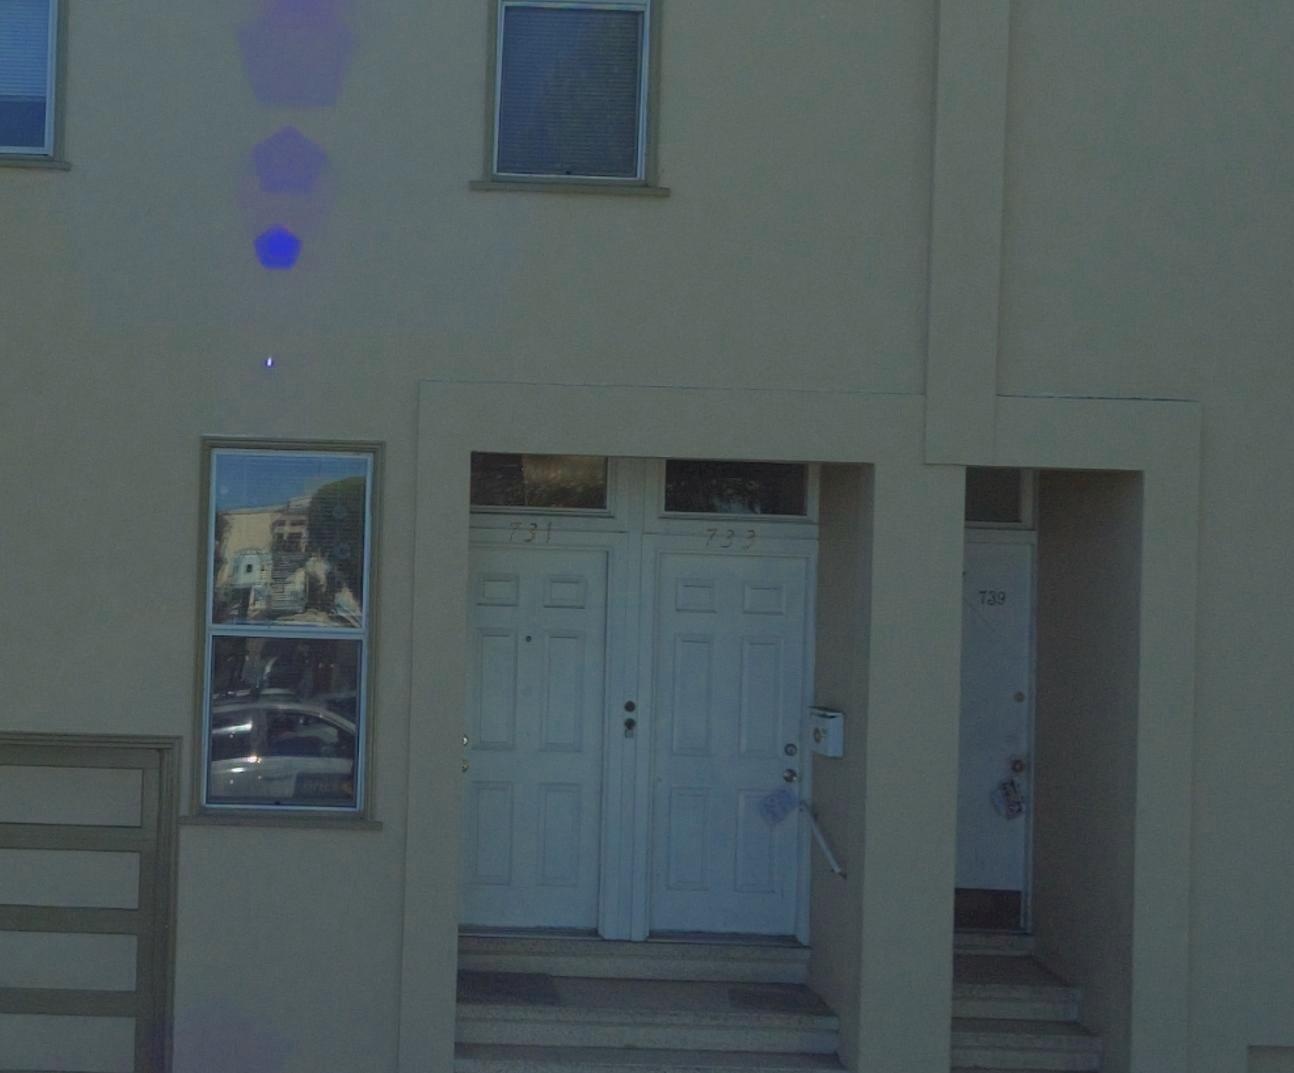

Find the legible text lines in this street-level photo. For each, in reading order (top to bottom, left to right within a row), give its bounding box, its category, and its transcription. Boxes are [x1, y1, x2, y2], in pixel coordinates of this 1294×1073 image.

[506, 520, 554, 546] StreetNumber: 731
[700, 526, 759, 553] StreetNumber: 733
[977, 588, 1007, 608] StreetNumber: 739